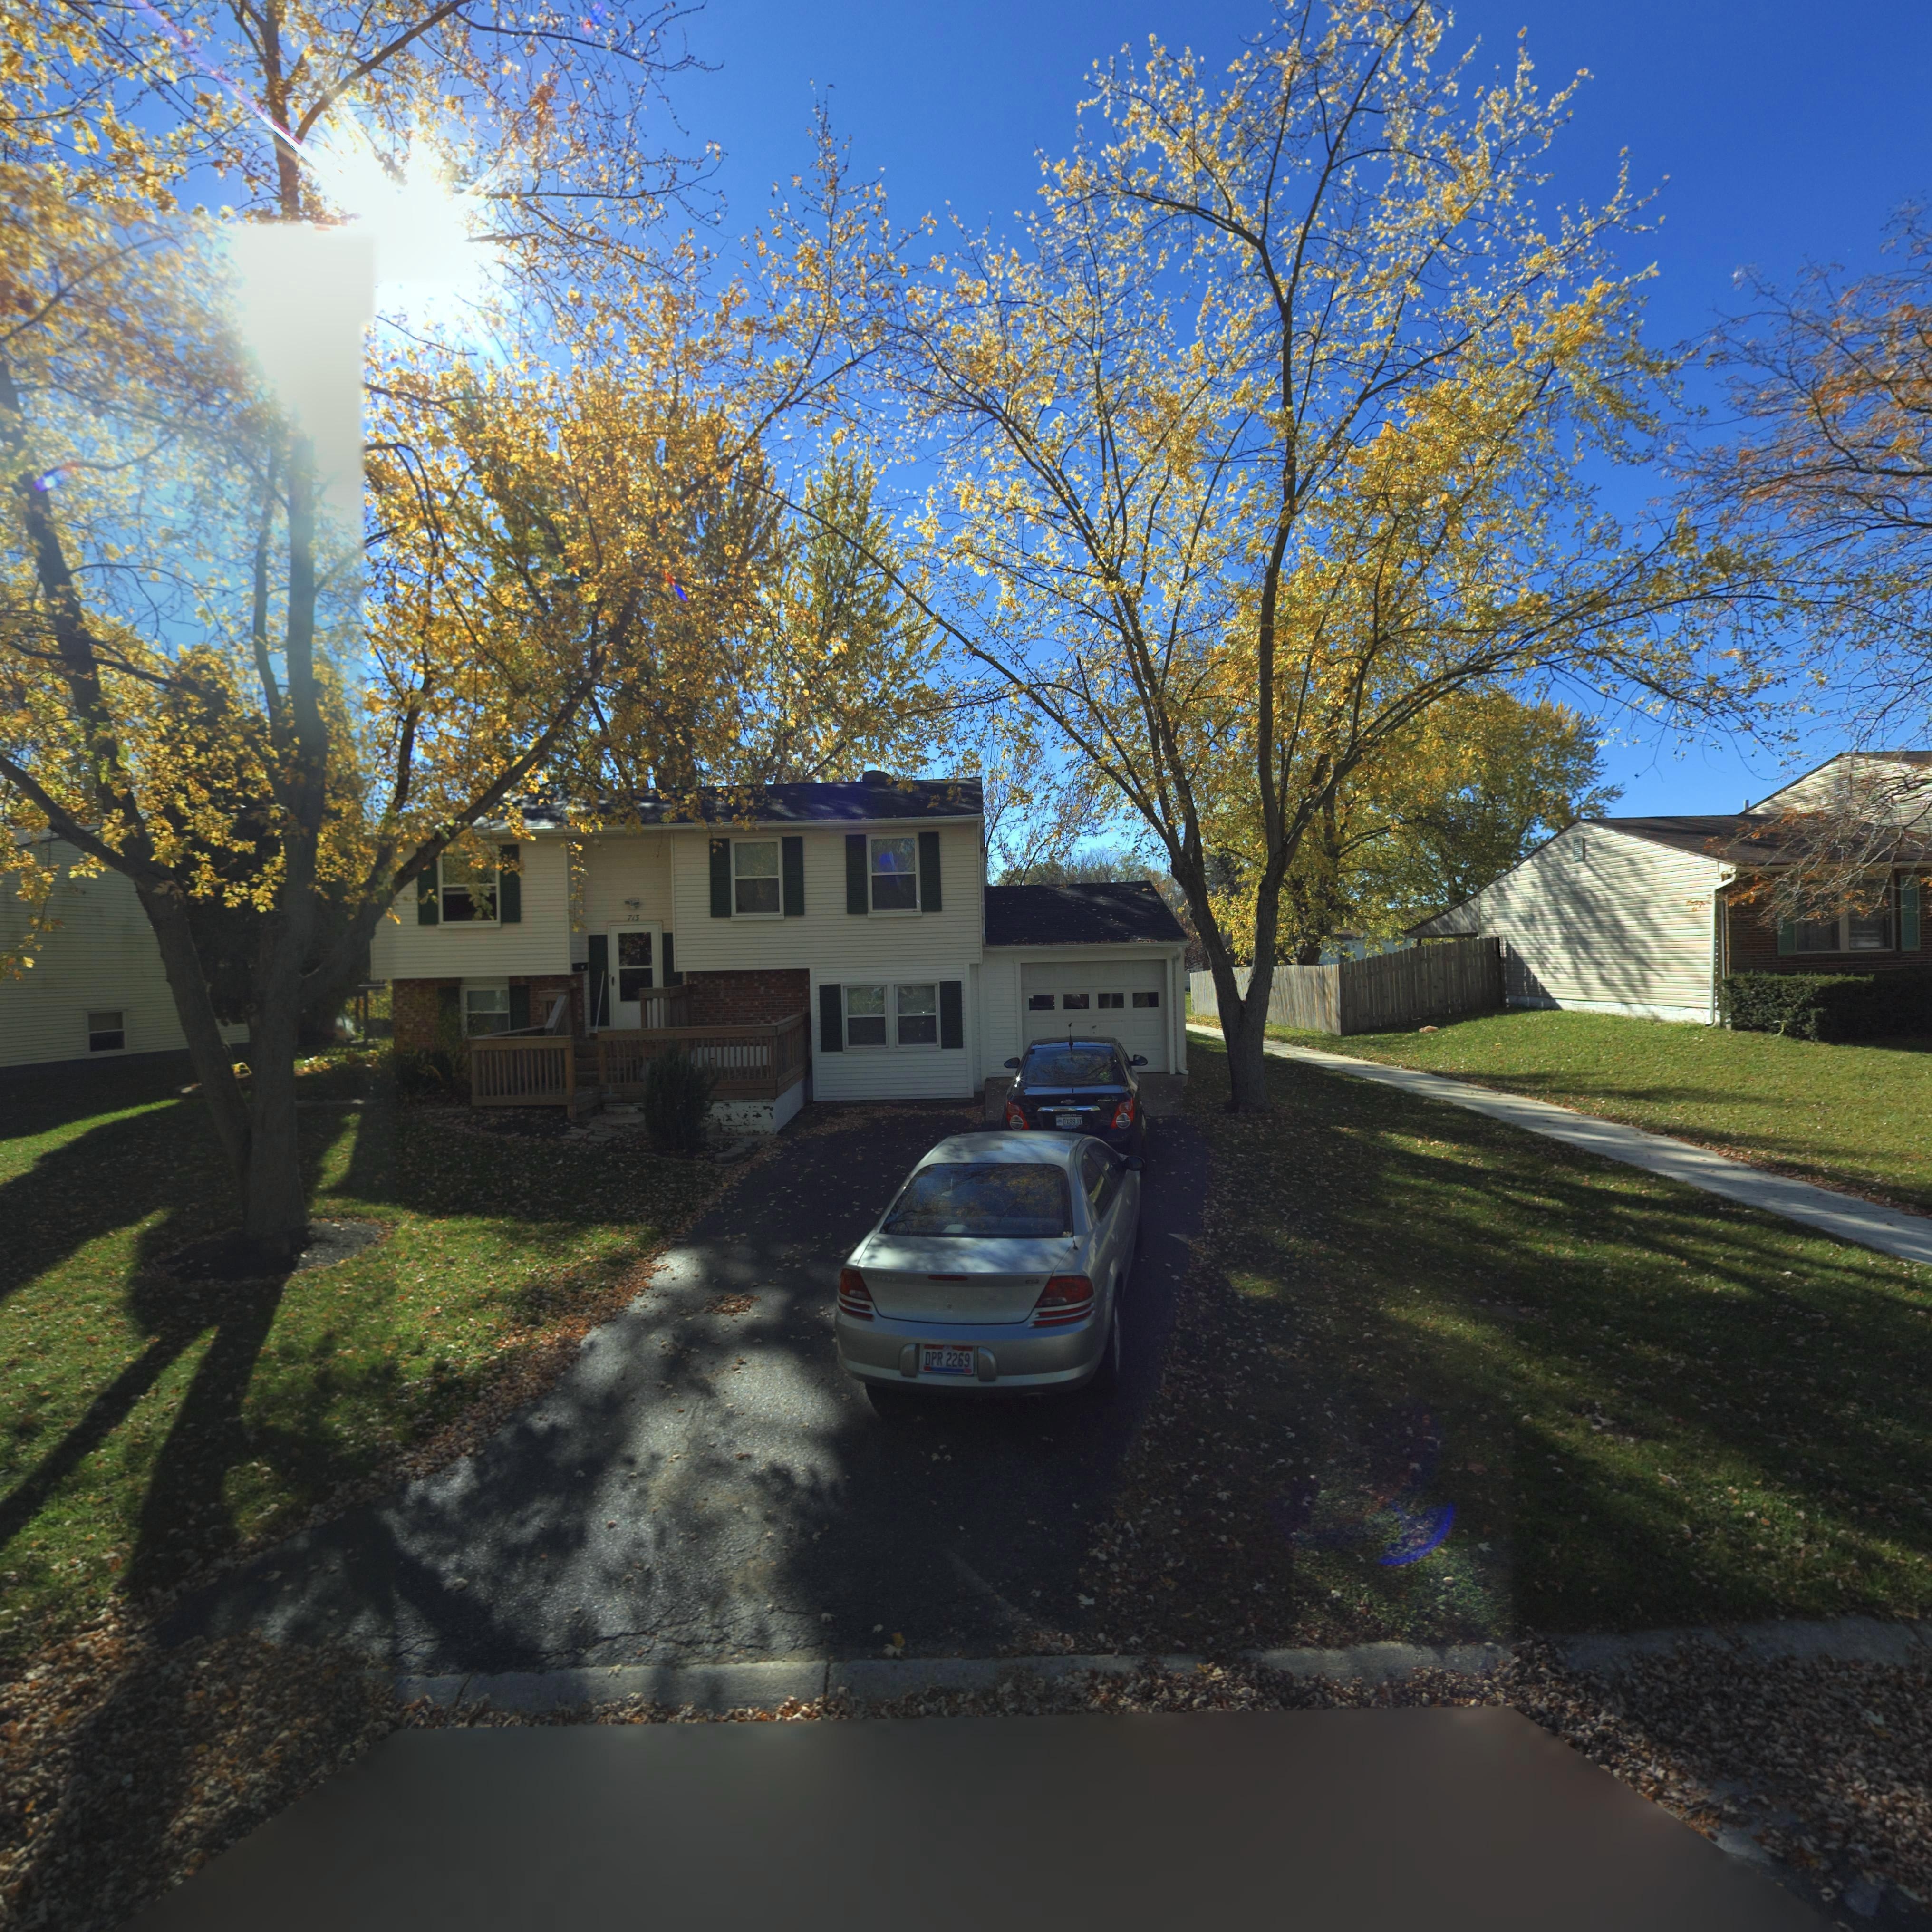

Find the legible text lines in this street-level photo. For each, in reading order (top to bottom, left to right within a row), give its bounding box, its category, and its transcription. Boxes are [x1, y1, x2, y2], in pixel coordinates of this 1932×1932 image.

[627, 914, 640, 922] StreetNumber: 713
[921, 1347, 973, 1371] None: DPR 2269